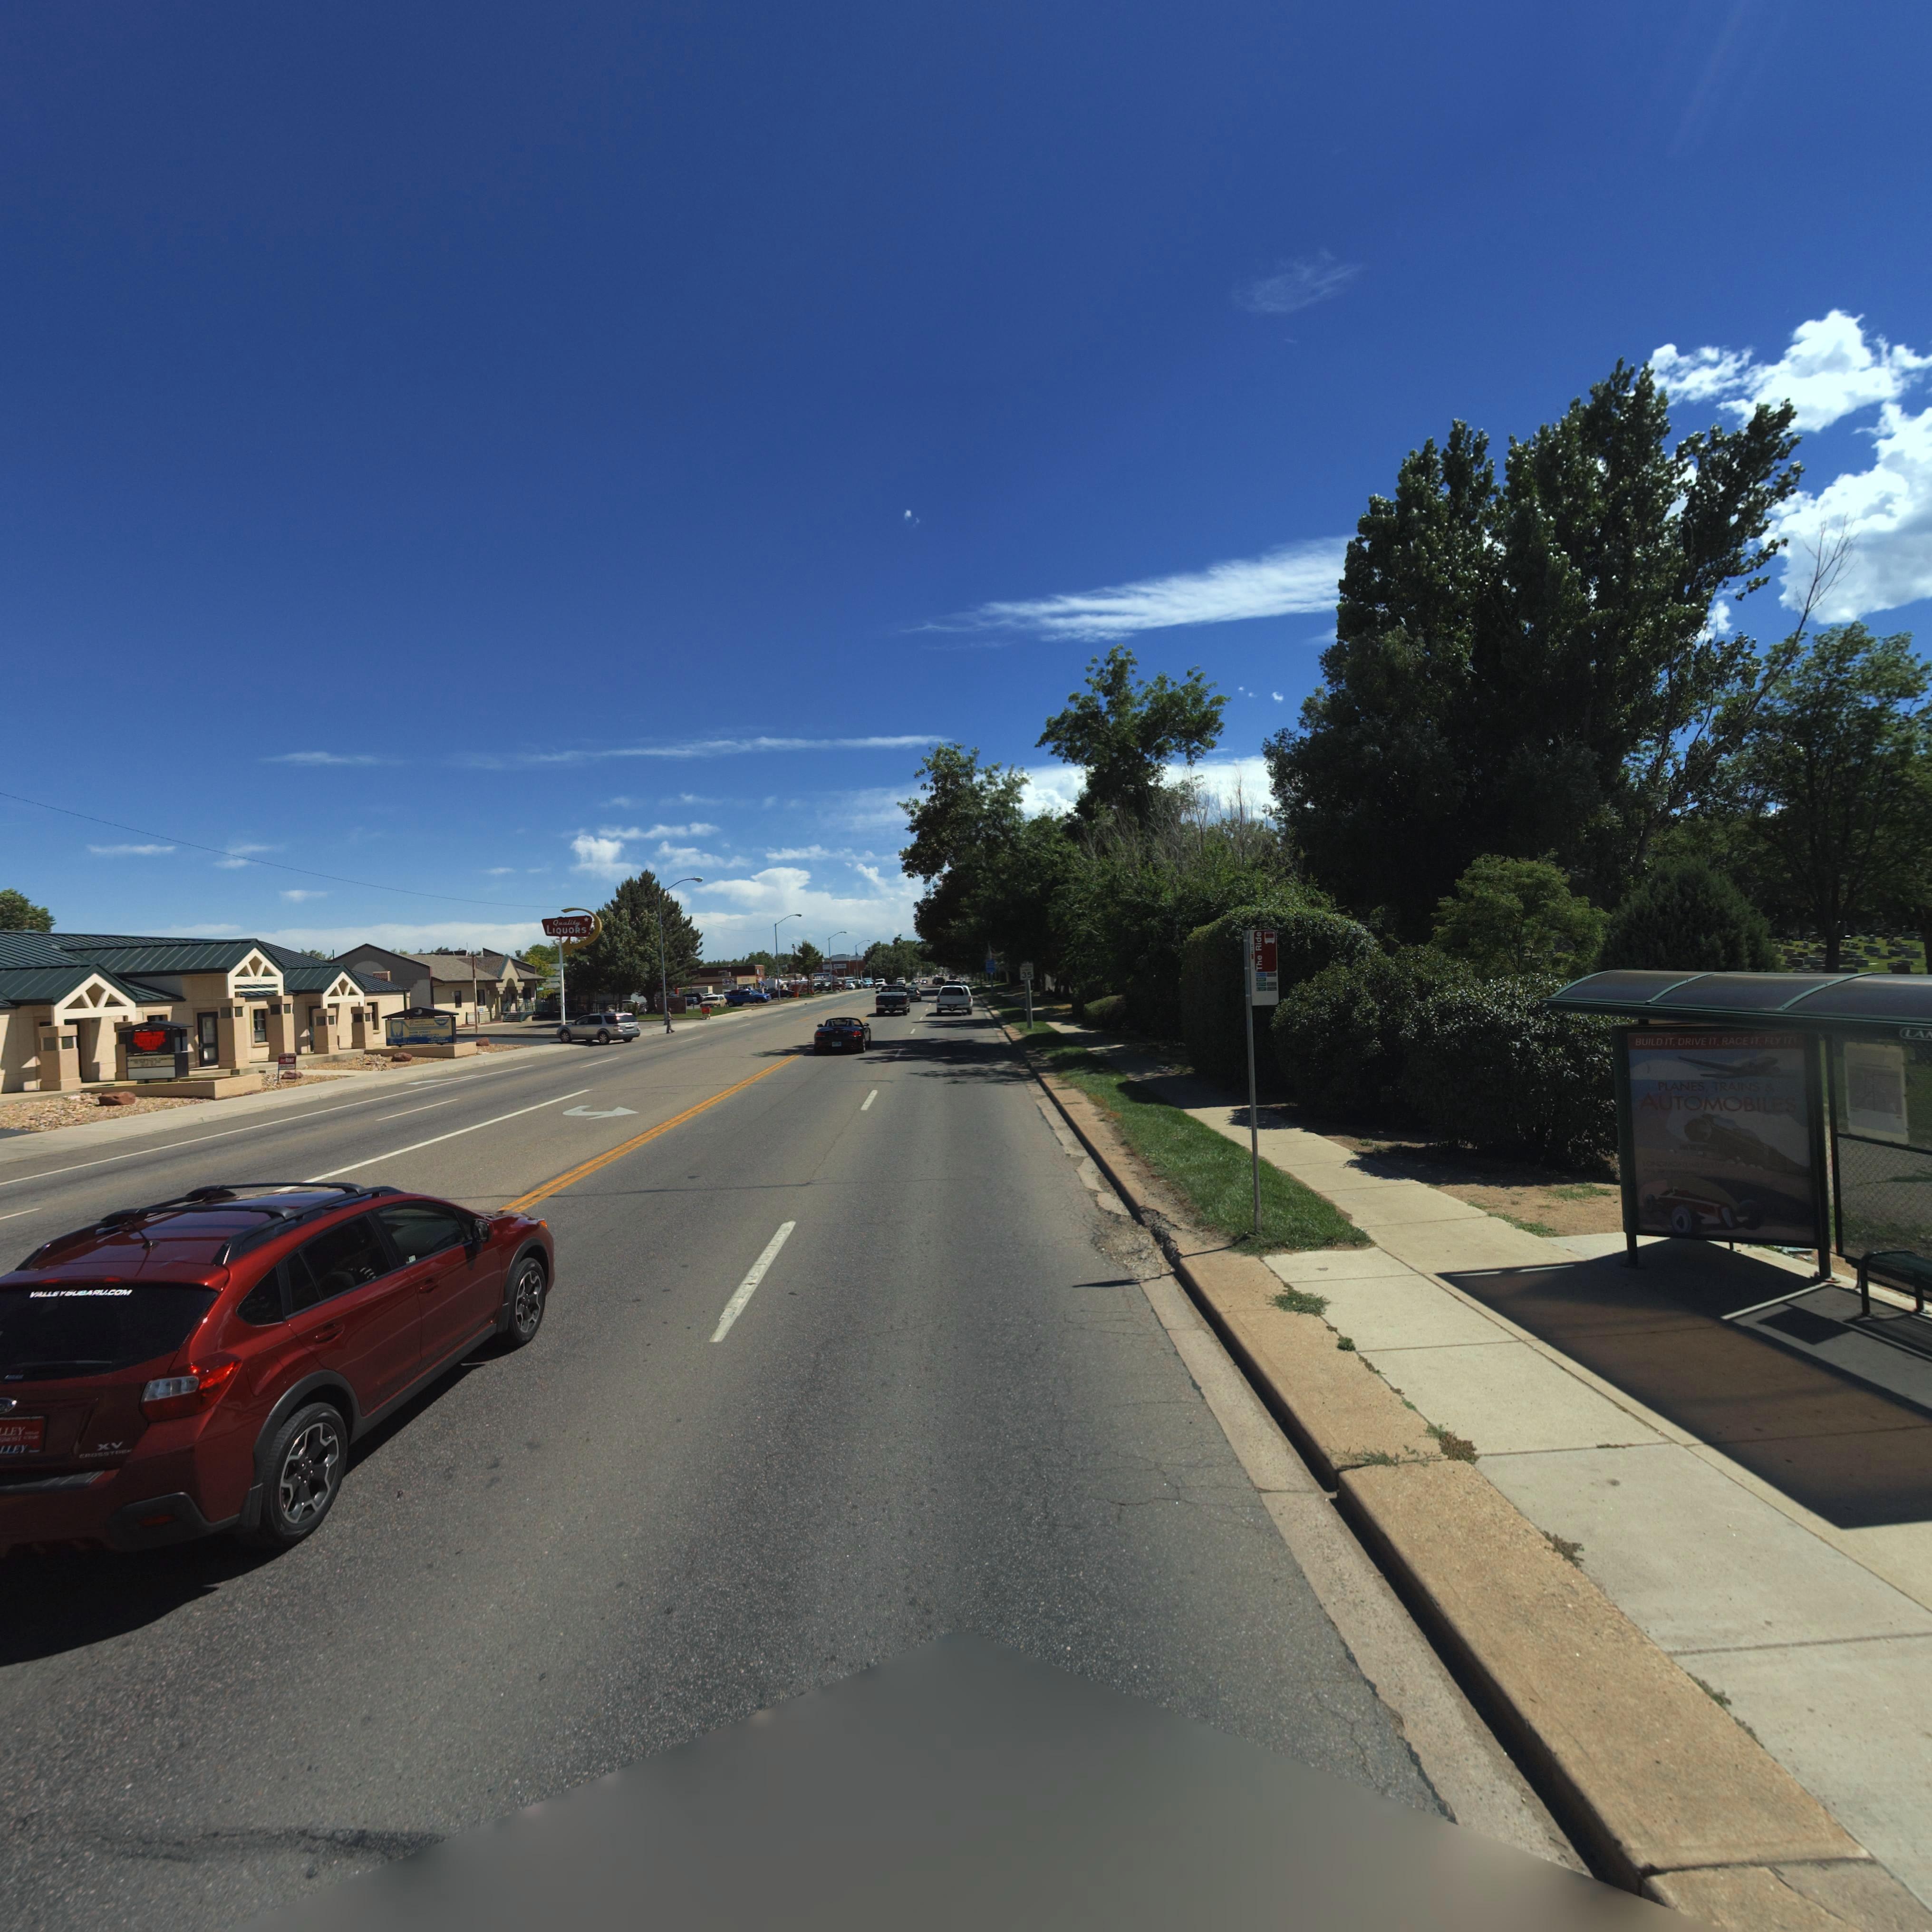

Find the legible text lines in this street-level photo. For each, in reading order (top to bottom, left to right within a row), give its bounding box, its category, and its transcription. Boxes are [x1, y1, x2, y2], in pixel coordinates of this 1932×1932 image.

[552, 919, 580, 927] BusinessName: Quality
[546, 925, 587, 935] BusinessName: LIQUORS